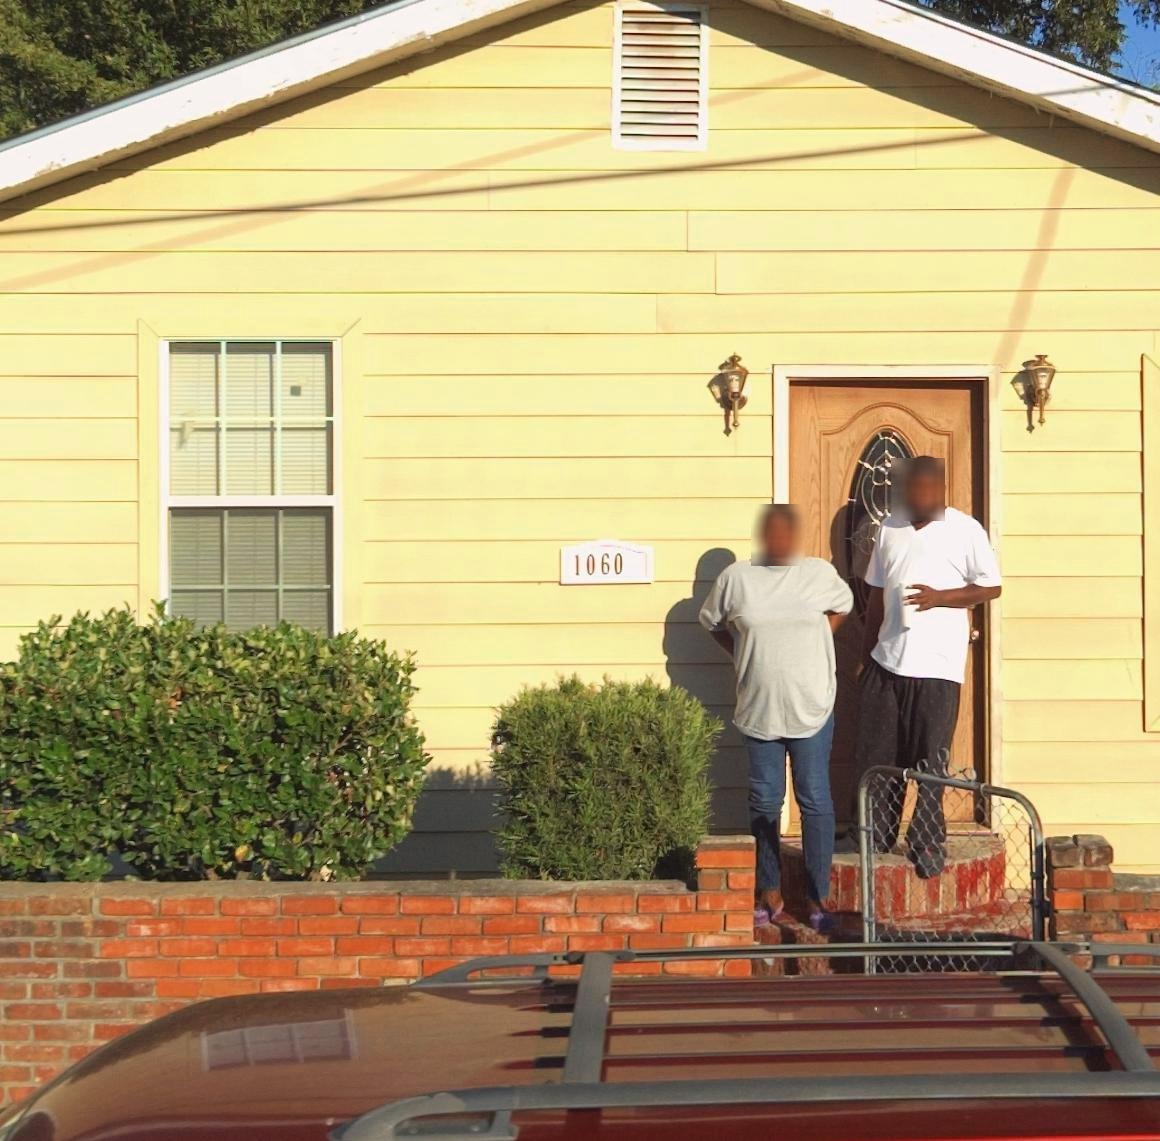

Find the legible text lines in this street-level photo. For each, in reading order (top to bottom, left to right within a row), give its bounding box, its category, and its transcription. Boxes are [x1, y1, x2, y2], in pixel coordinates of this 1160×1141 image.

[572, 551, 625, 578] StreetNumber: 1060